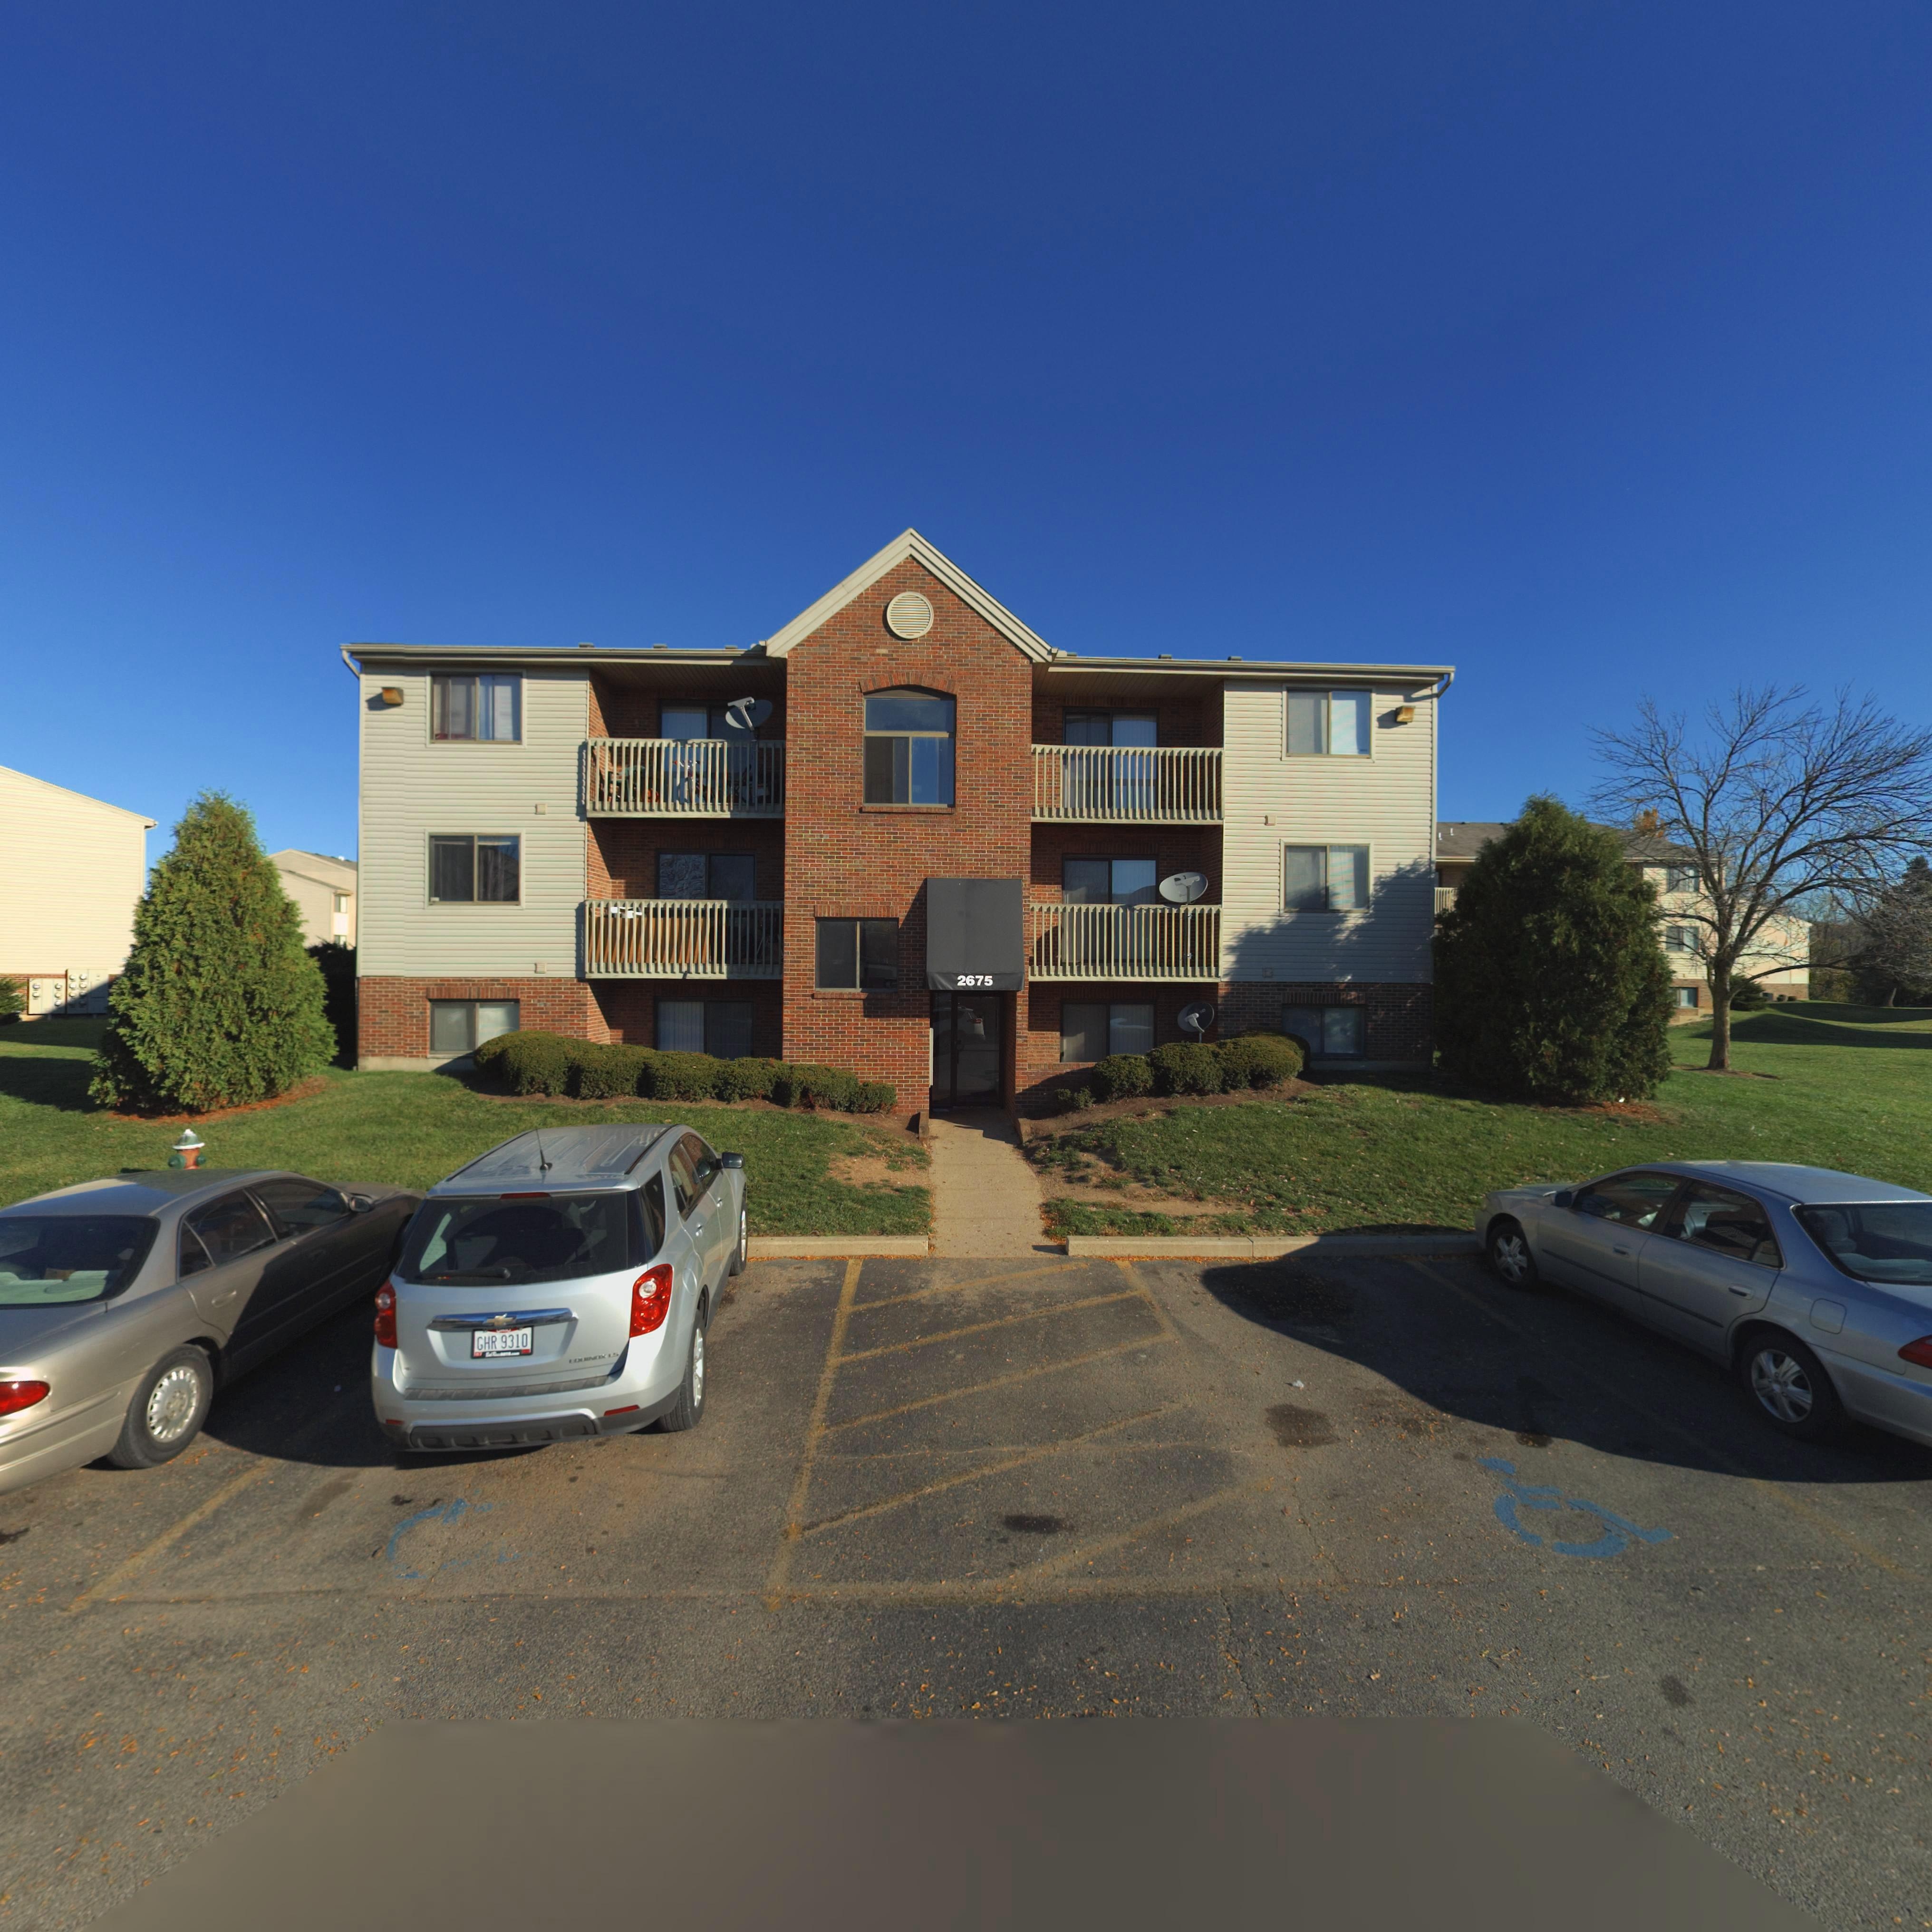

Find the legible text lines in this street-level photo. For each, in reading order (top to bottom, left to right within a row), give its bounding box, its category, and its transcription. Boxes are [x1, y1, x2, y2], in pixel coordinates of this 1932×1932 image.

[956, 974, 995, 987] StreetNumber: 2675